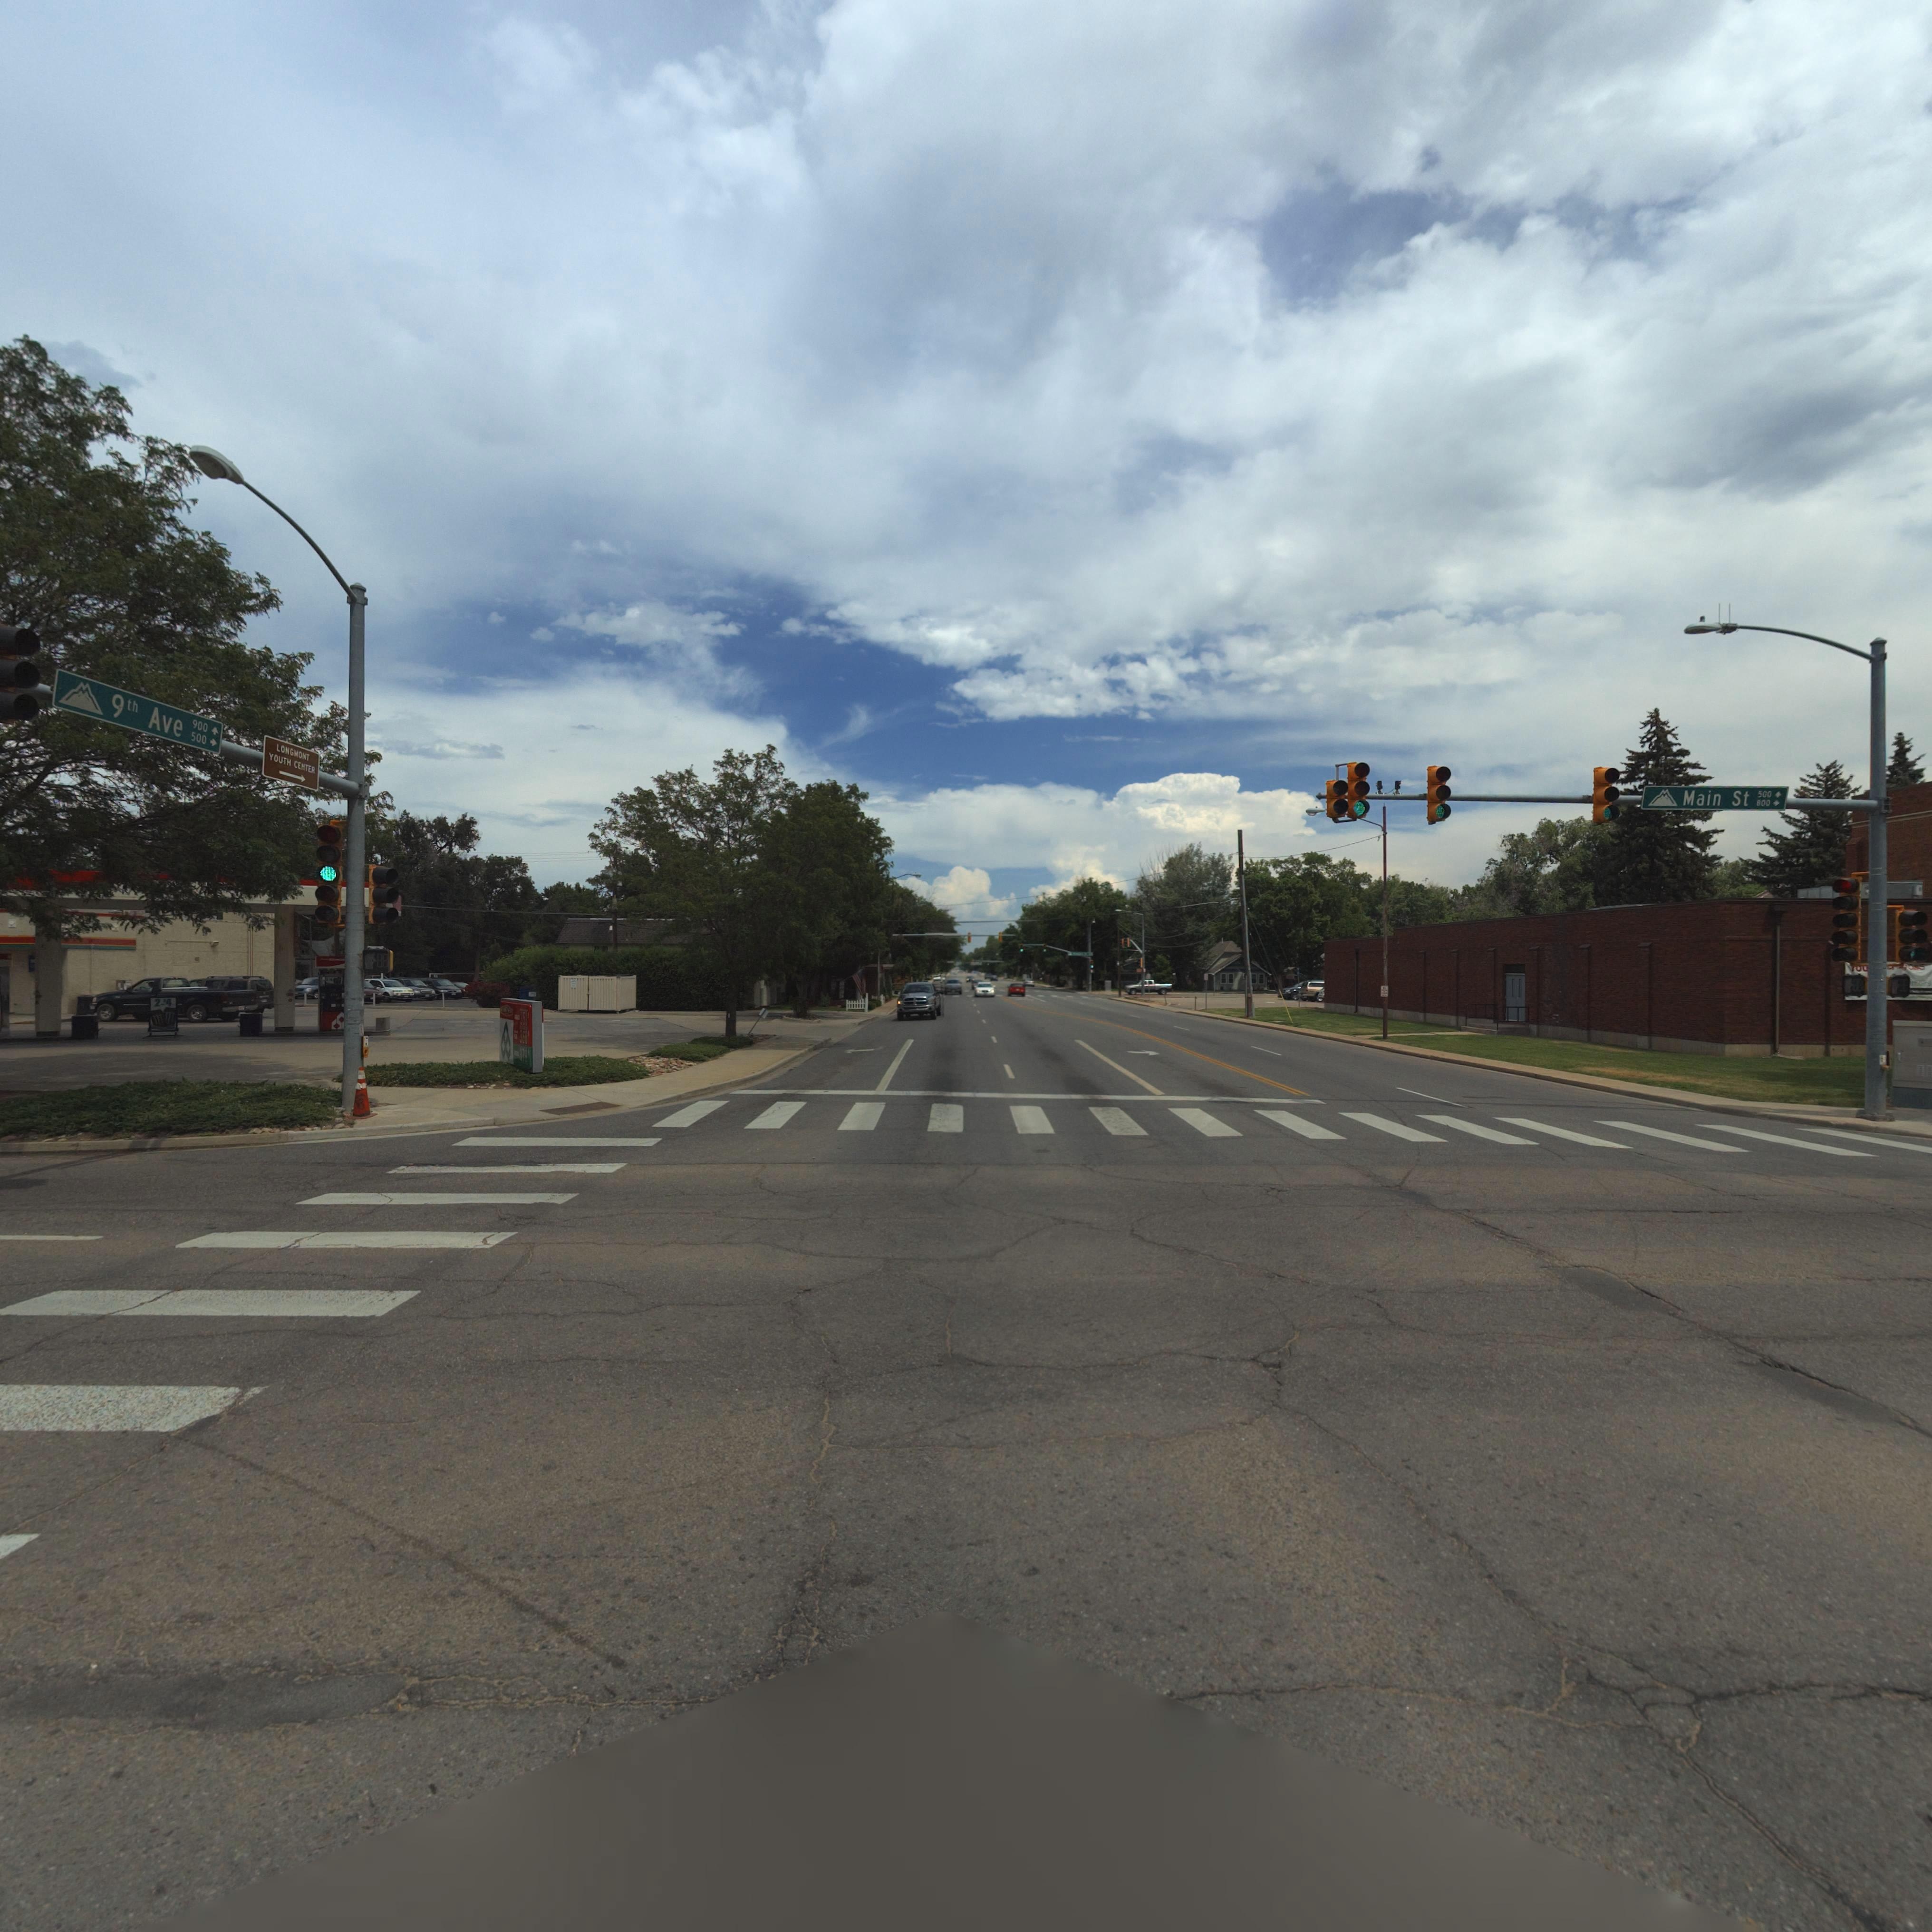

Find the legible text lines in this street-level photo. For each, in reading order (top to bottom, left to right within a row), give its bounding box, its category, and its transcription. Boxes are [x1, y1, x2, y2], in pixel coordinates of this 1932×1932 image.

[110, 693, 184, 738] StreetName: 9th Ave
[193, 719, 208, 733] StreetNumberRange: 900
[191, 731, 217, 747] StreetNumberRange: 500 ->
[1682, 790, 1750, 806] StreetName: Main St
[1757, 790, 1772, 797] StreetNumberRange: 500
[1756, 799, 1779, 806] StreetNumberRange: 800 ->